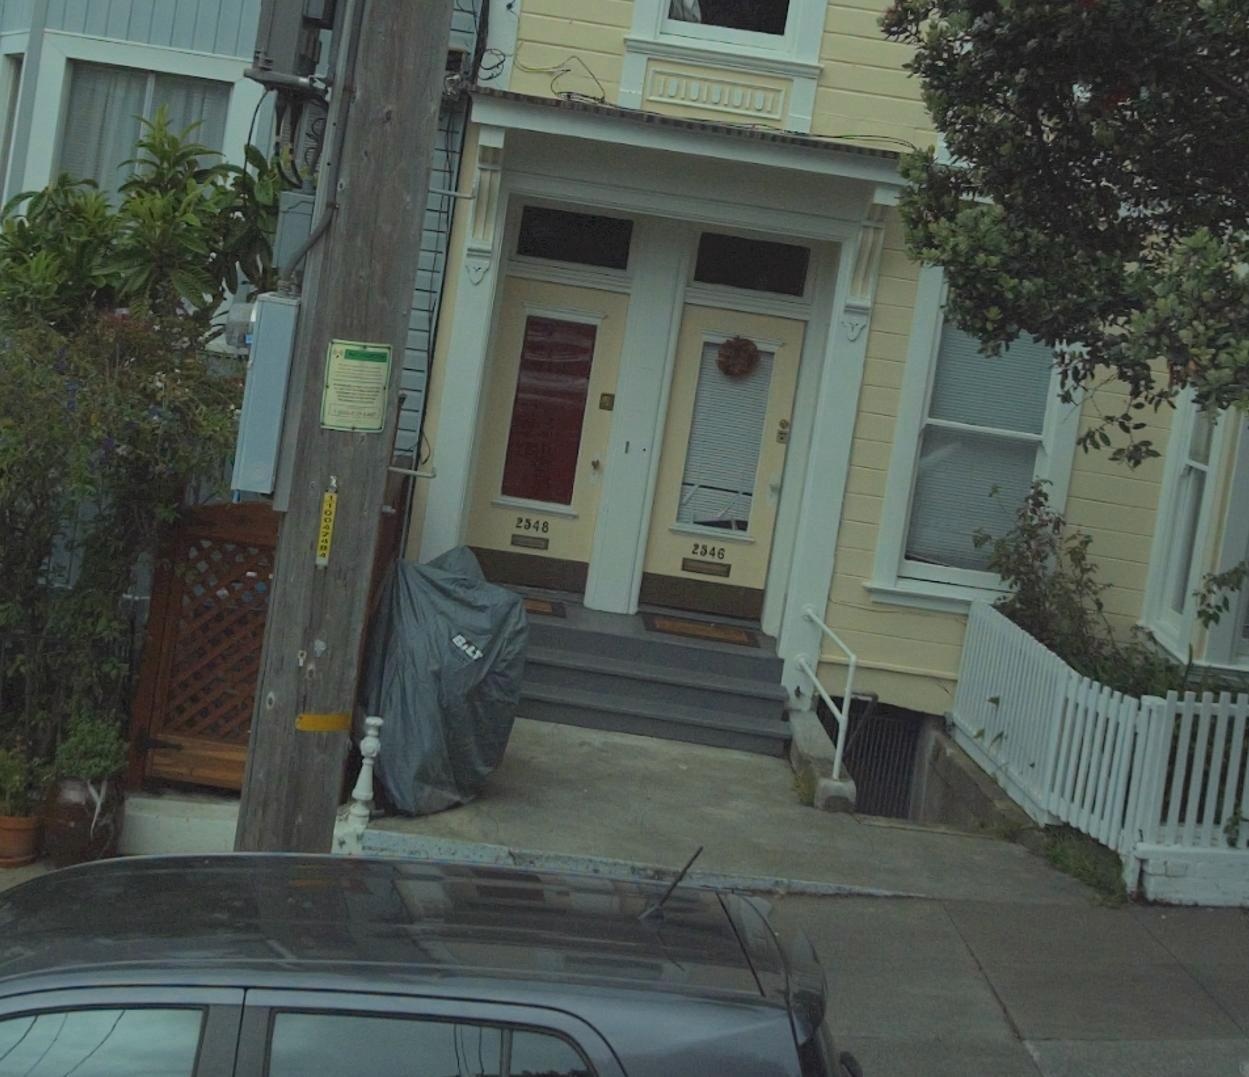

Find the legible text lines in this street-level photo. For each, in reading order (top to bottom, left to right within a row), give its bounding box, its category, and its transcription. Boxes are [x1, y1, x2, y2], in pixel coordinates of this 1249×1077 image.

[316, 491, 337, 559] None: 110047484
[514, 514, 551, 536] StreetNumber: 2548
[689, 540, 727, 563] StreetNumber: 2546
[450, 632, 486, 663] None: B*LT